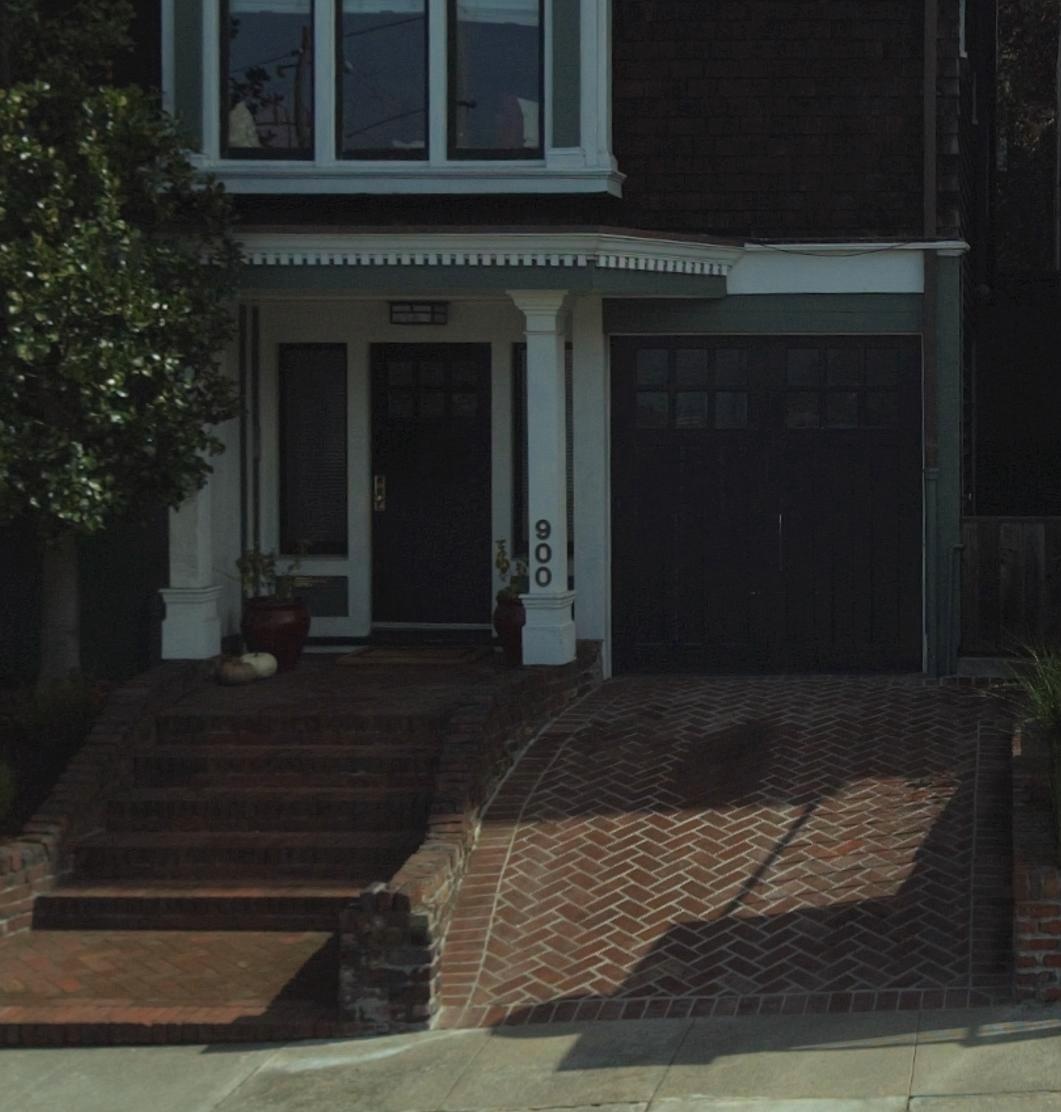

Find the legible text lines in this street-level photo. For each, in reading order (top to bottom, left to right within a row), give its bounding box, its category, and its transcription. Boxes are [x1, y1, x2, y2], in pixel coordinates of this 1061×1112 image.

[533, 517, 554, 589] StreetNumber: 900